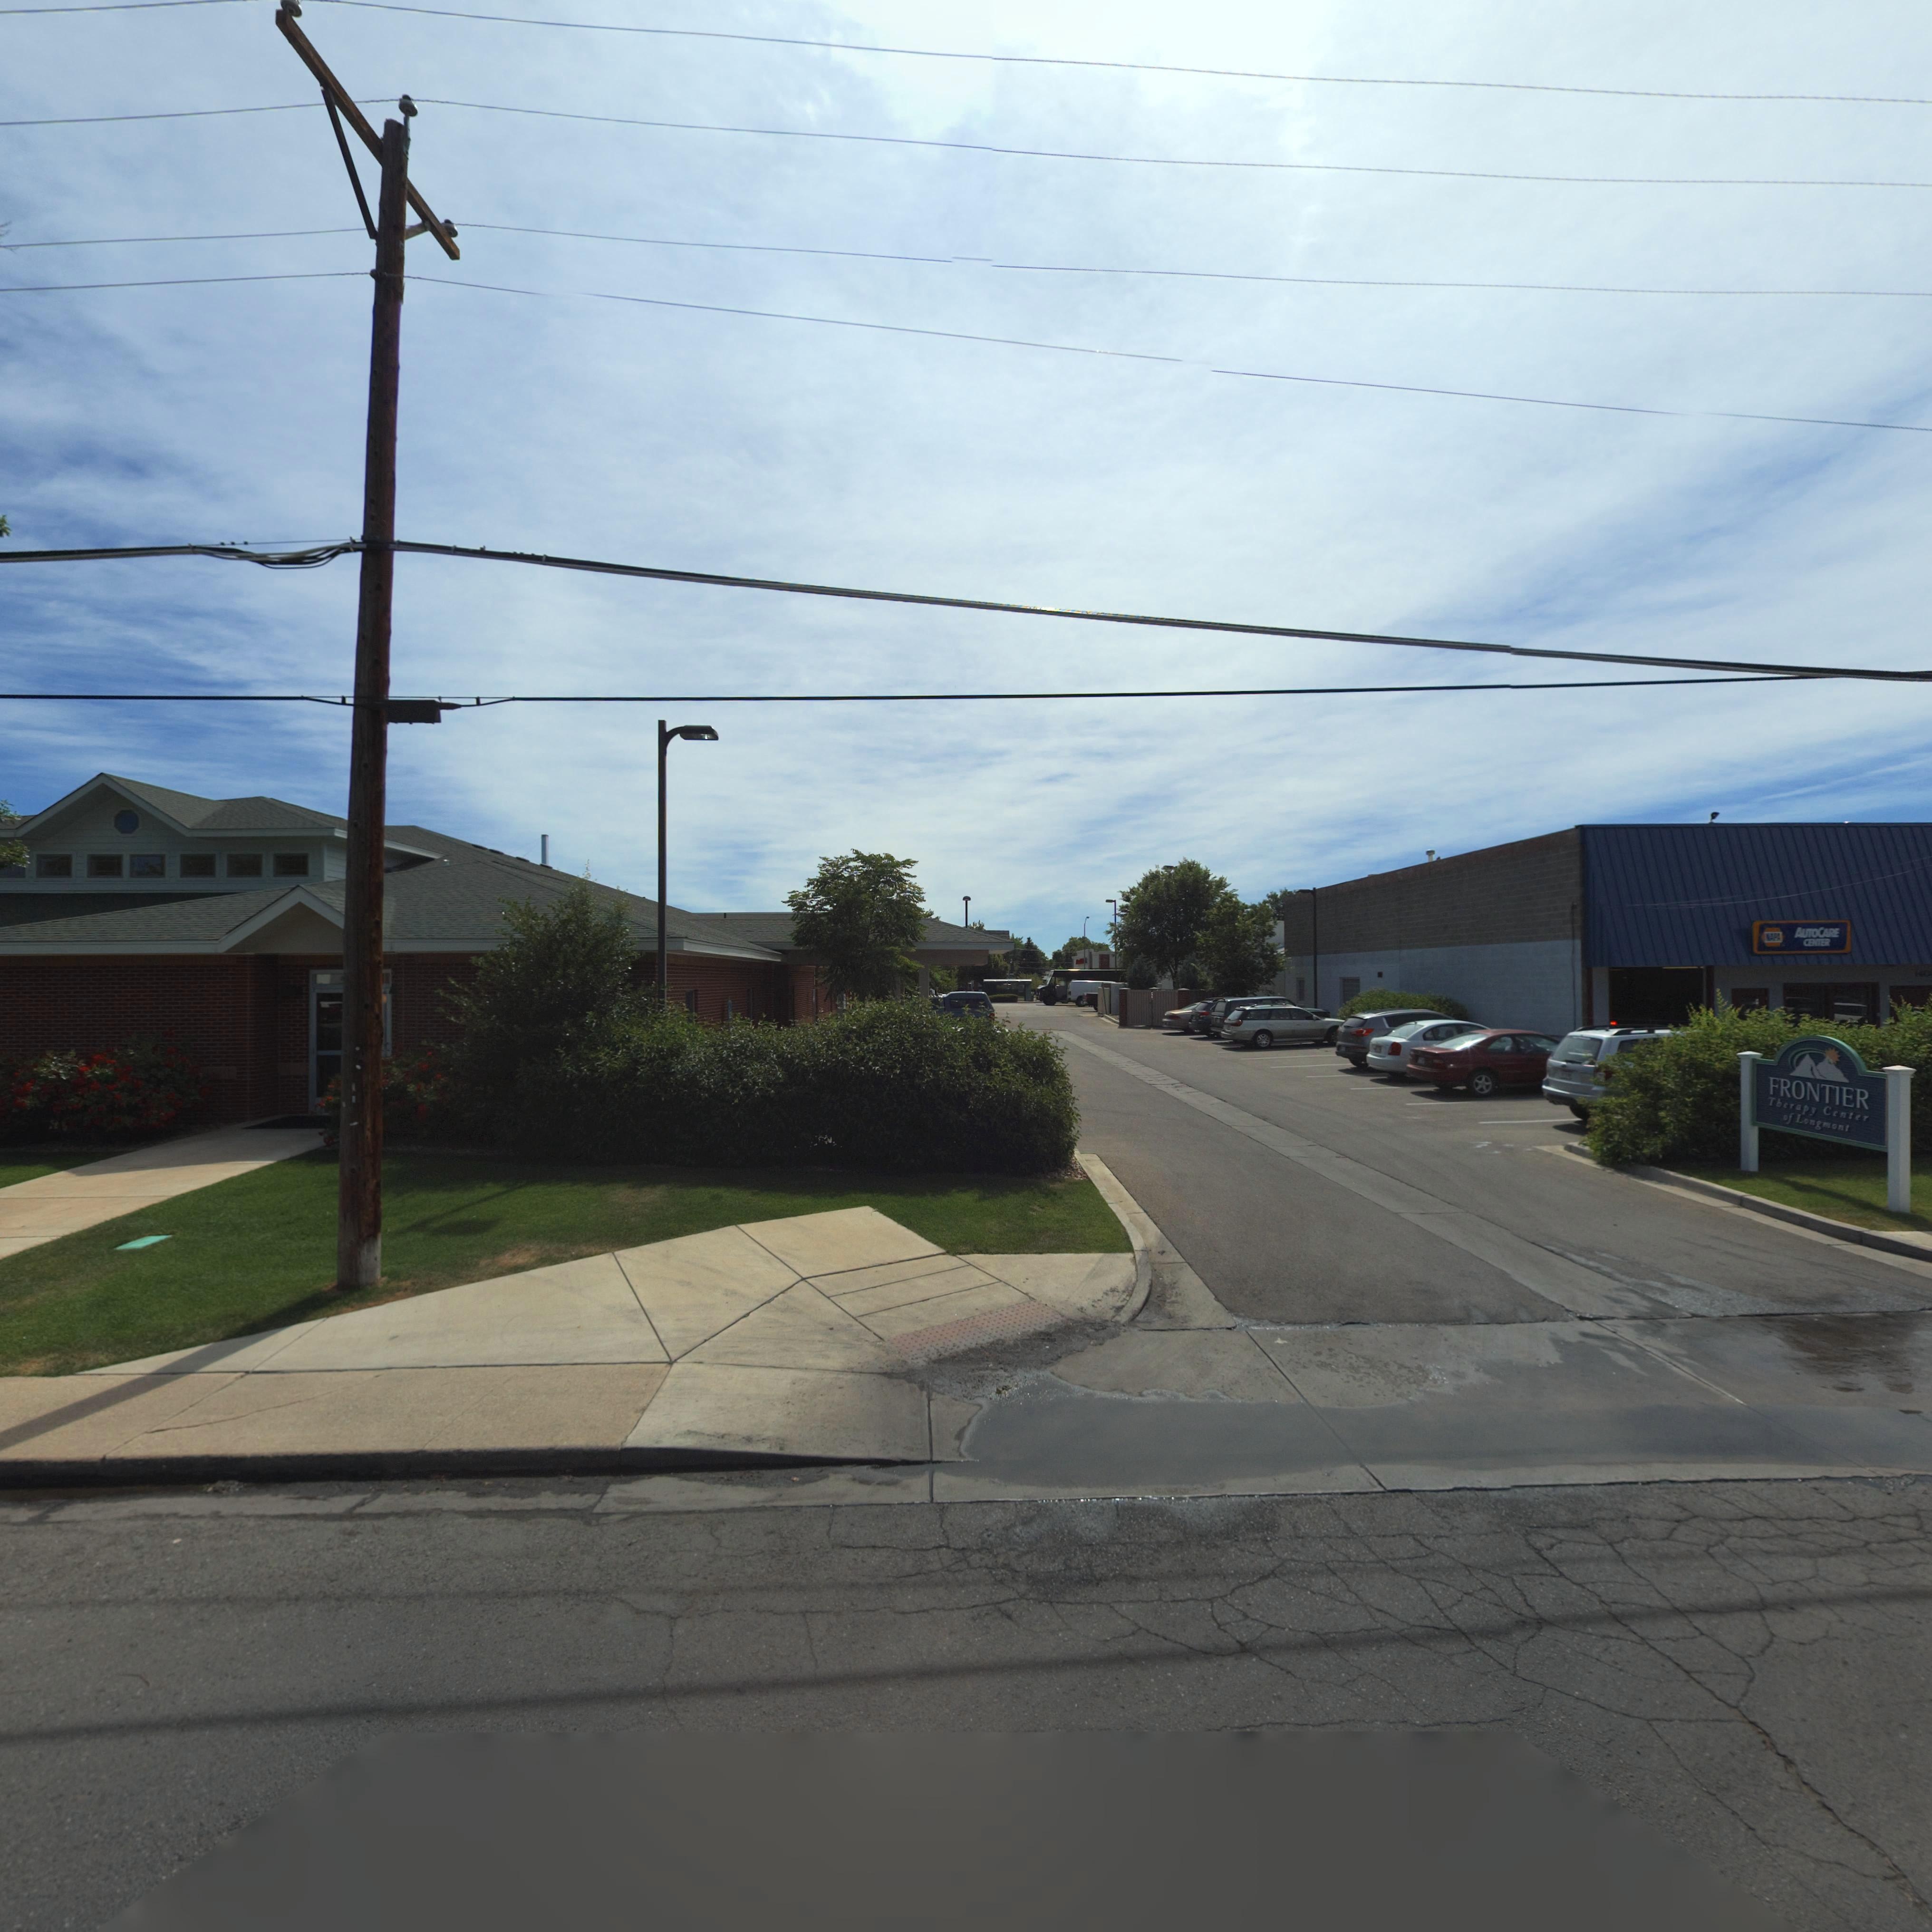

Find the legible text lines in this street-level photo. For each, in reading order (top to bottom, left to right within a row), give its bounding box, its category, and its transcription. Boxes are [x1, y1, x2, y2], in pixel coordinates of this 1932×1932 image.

[1765, 932, 1782, 942] BusinessName: NAPA
[1803, 938, 1830, 947] BusinessName: CENTER
[1794, 927, 1840, 938] BusinessName: AUTOCARE
[1914, 969, 1931, 977] StreetNumber: 140
[1768, 1076, 1869, 1111] BusinessName: FRONTIER
[1768, 1096, 1870, 1122] BusinessName: Therapy Center
[1782, 1112, 1850, 1132] BusinessName: of Longmont